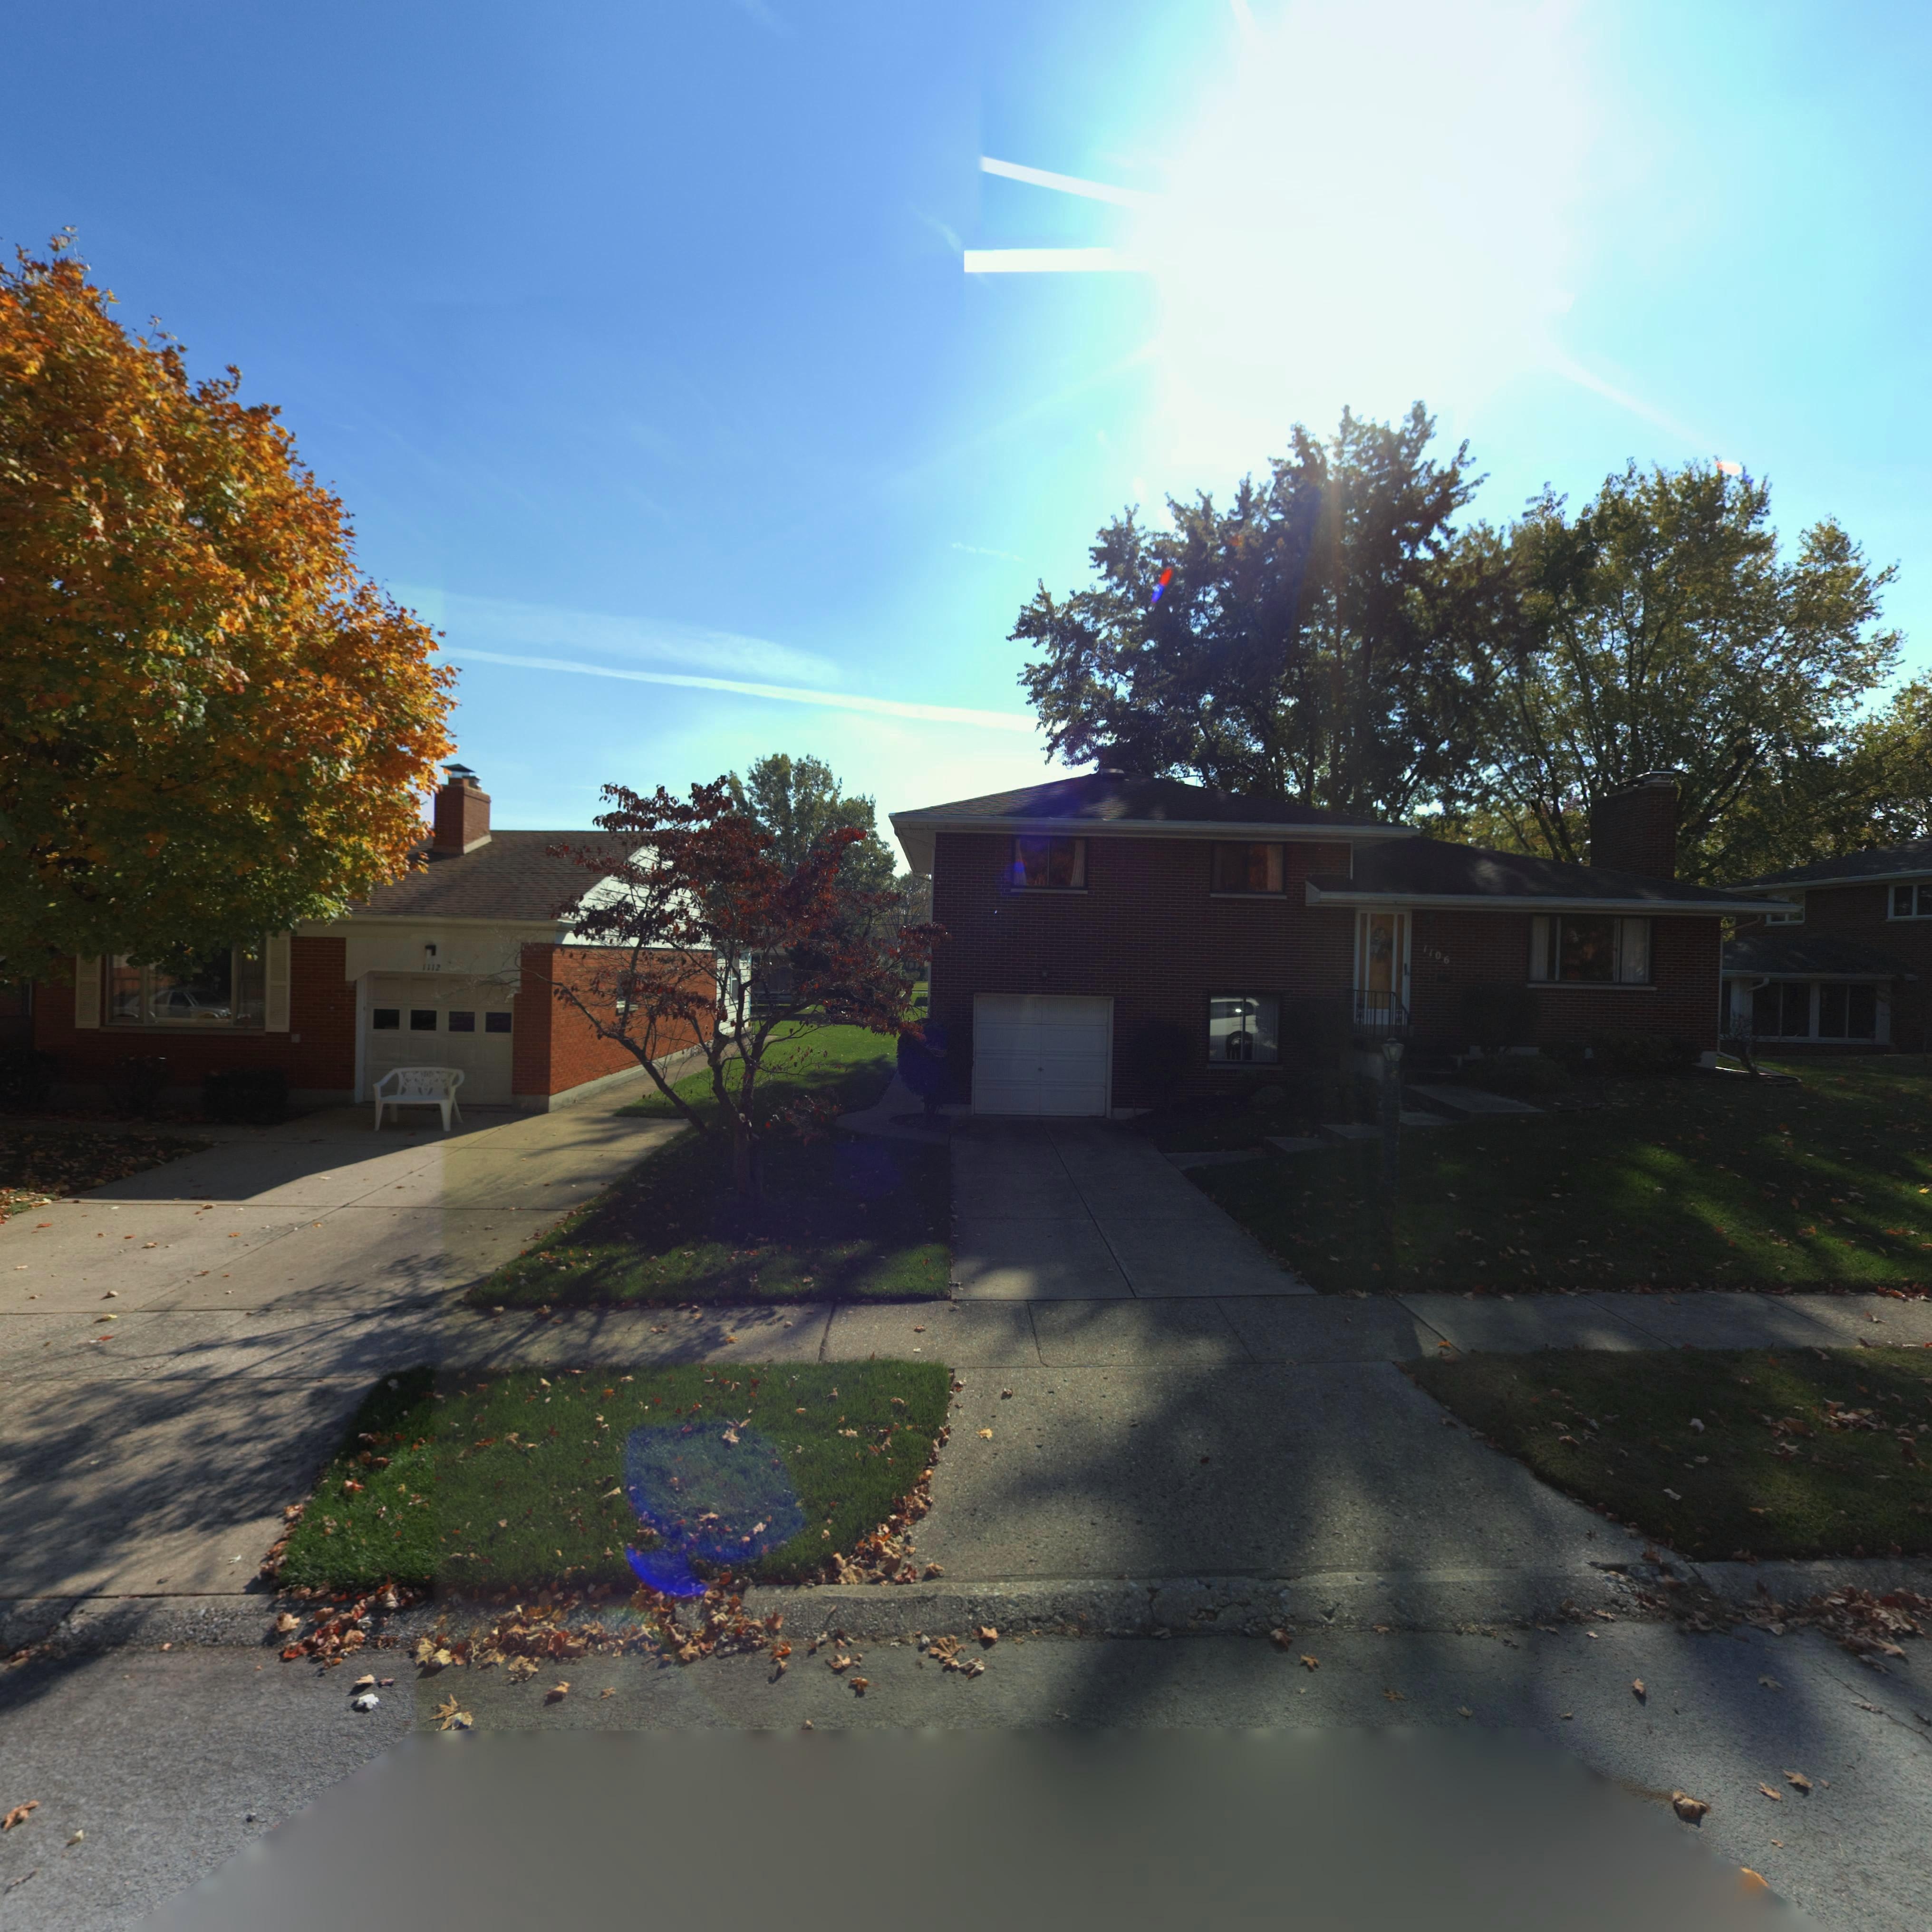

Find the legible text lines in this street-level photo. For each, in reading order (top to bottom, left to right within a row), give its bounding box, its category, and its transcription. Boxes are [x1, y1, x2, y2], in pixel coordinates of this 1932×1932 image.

[1421, 942, 1451, 966] StreetNumber: 1106
[421, 962, 442, 973] StreetNumber: 1112